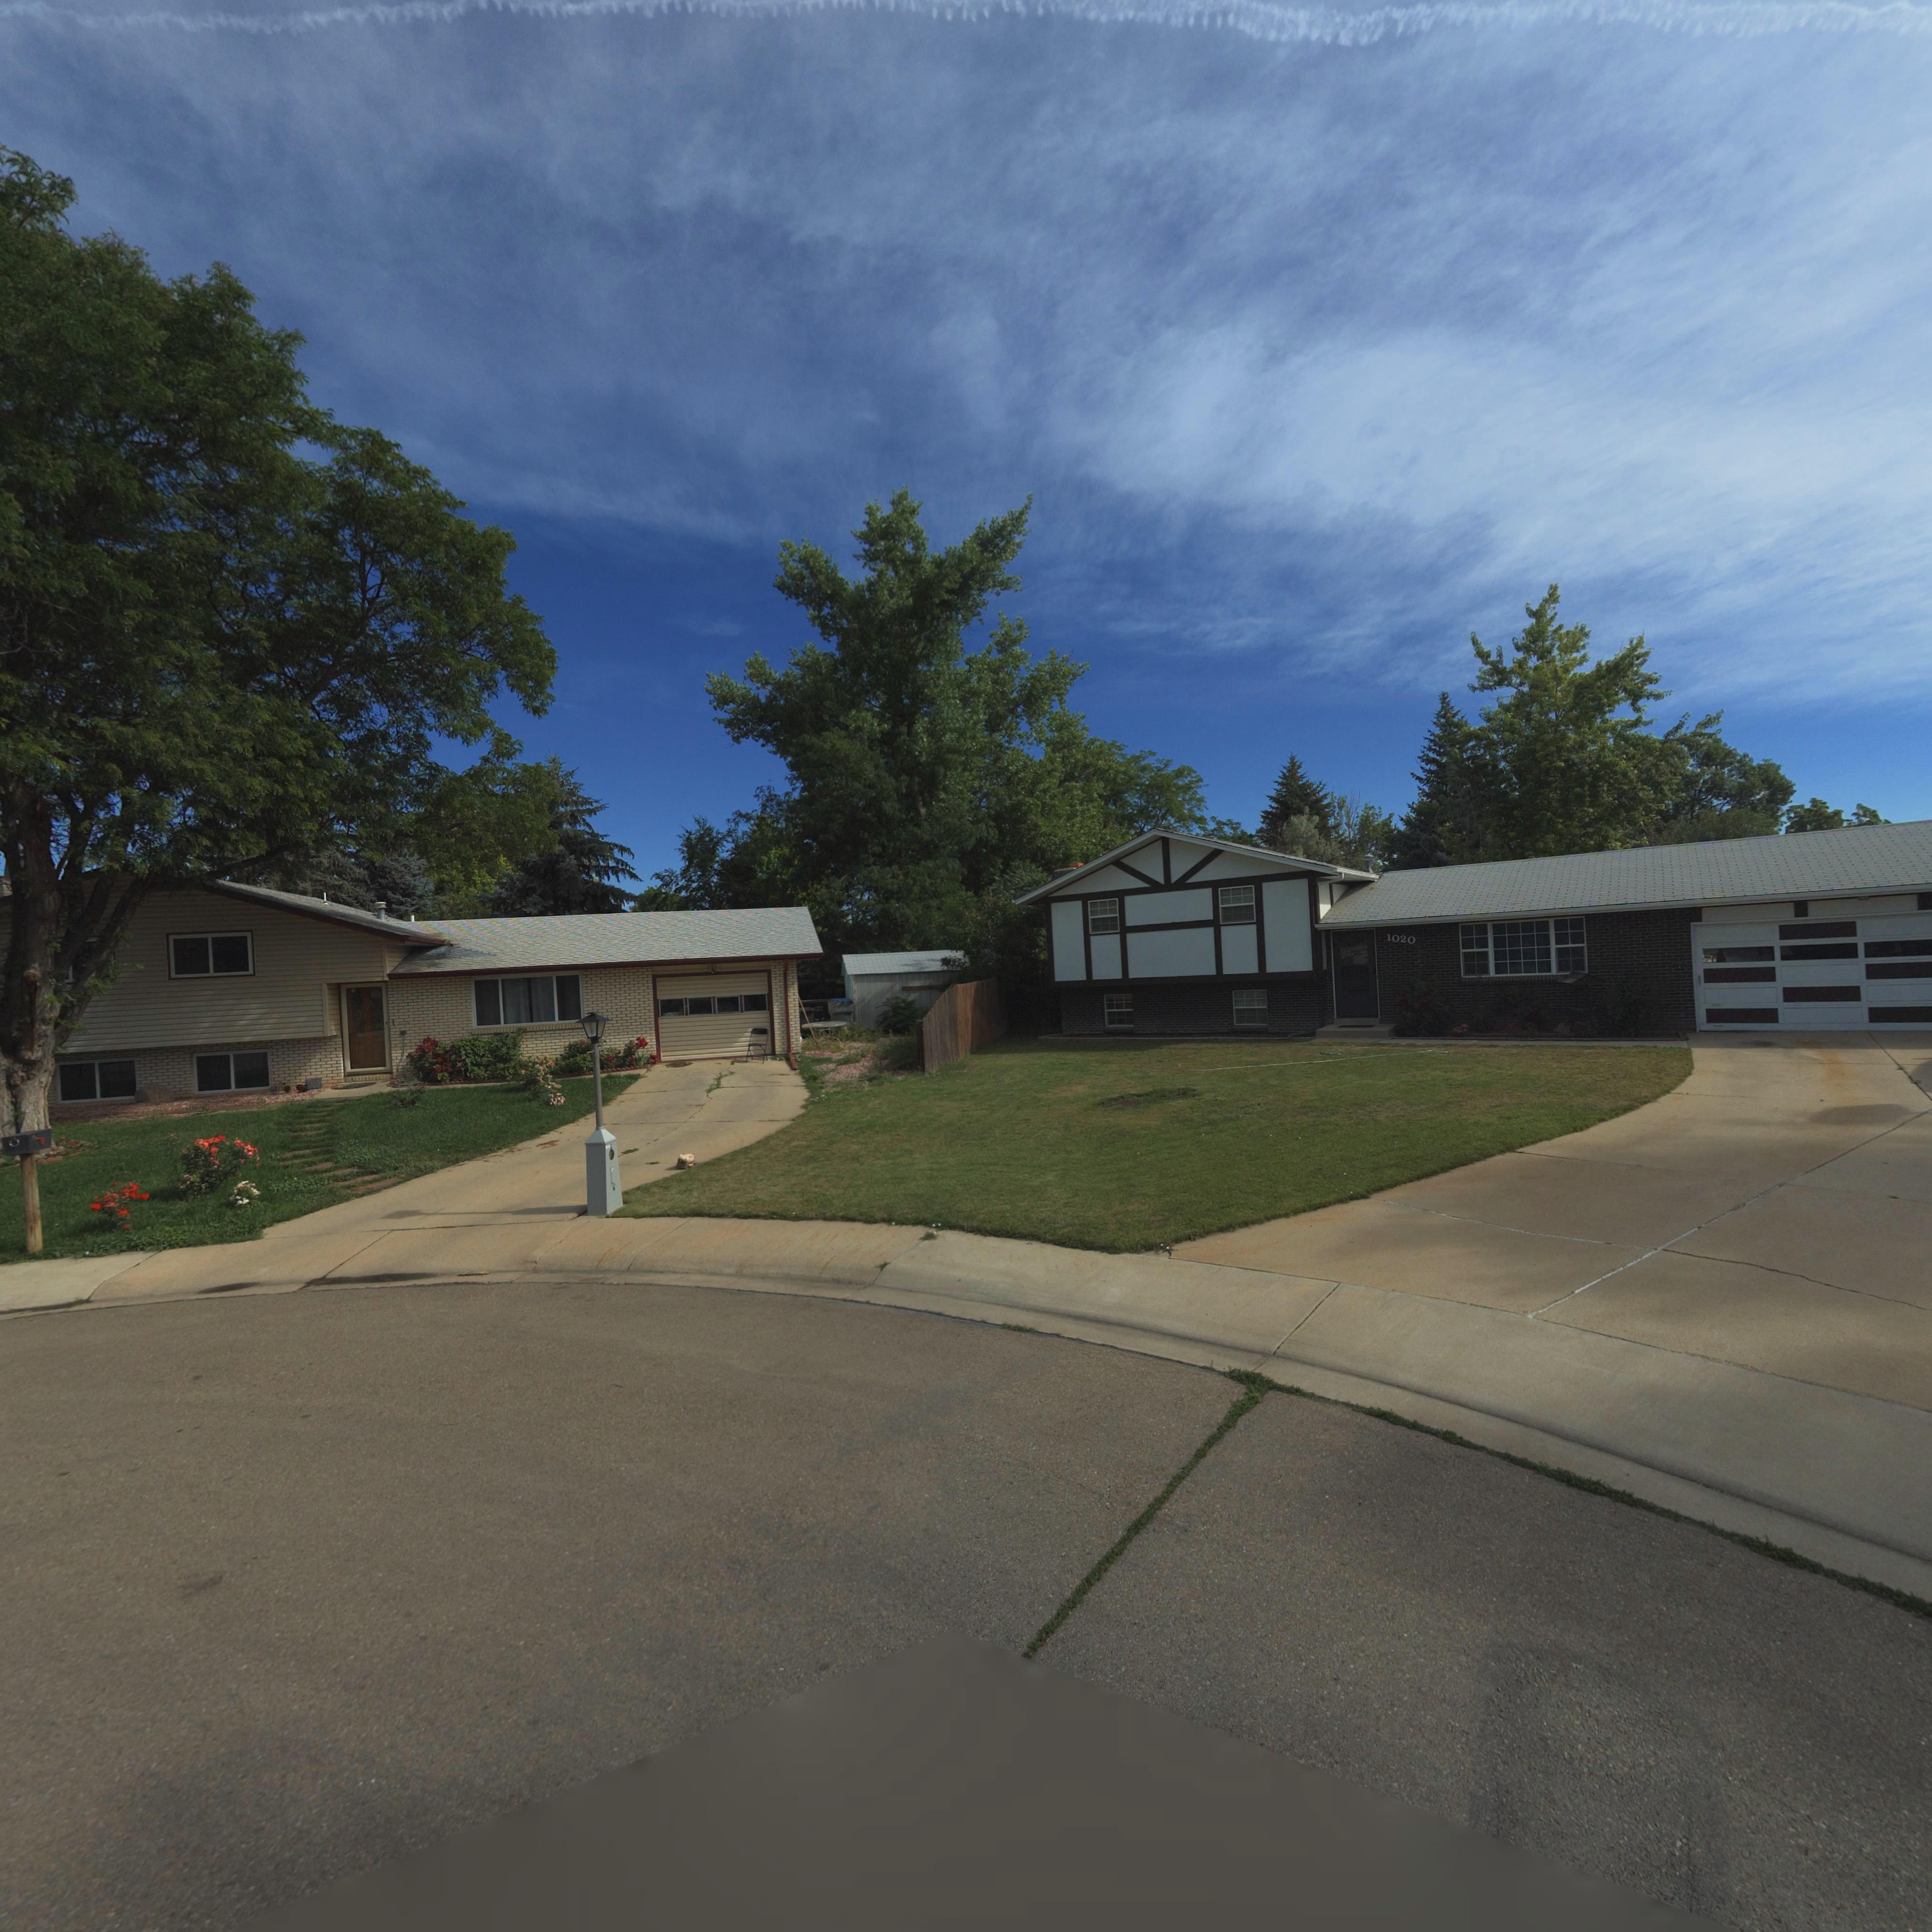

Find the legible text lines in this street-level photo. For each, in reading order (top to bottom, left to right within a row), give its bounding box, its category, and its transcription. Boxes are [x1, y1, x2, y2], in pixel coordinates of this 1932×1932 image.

[1386, 933, 1416, 944] StreetNumber: 1020